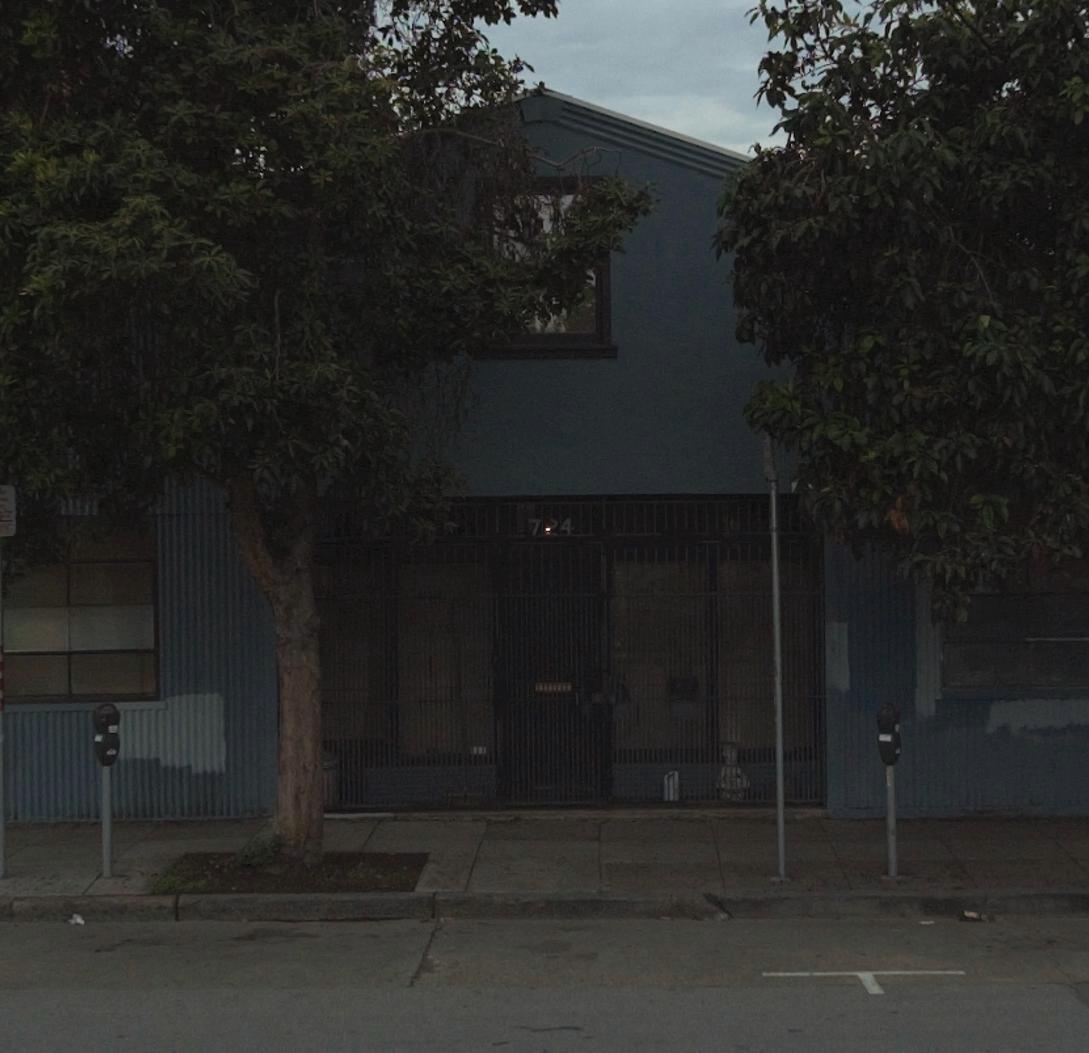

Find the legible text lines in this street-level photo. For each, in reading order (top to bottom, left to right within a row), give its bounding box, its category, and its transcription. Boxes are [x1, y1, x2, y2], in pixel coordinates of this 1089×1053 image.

[524, 515, 576, 538] StreetNumber: 7*4